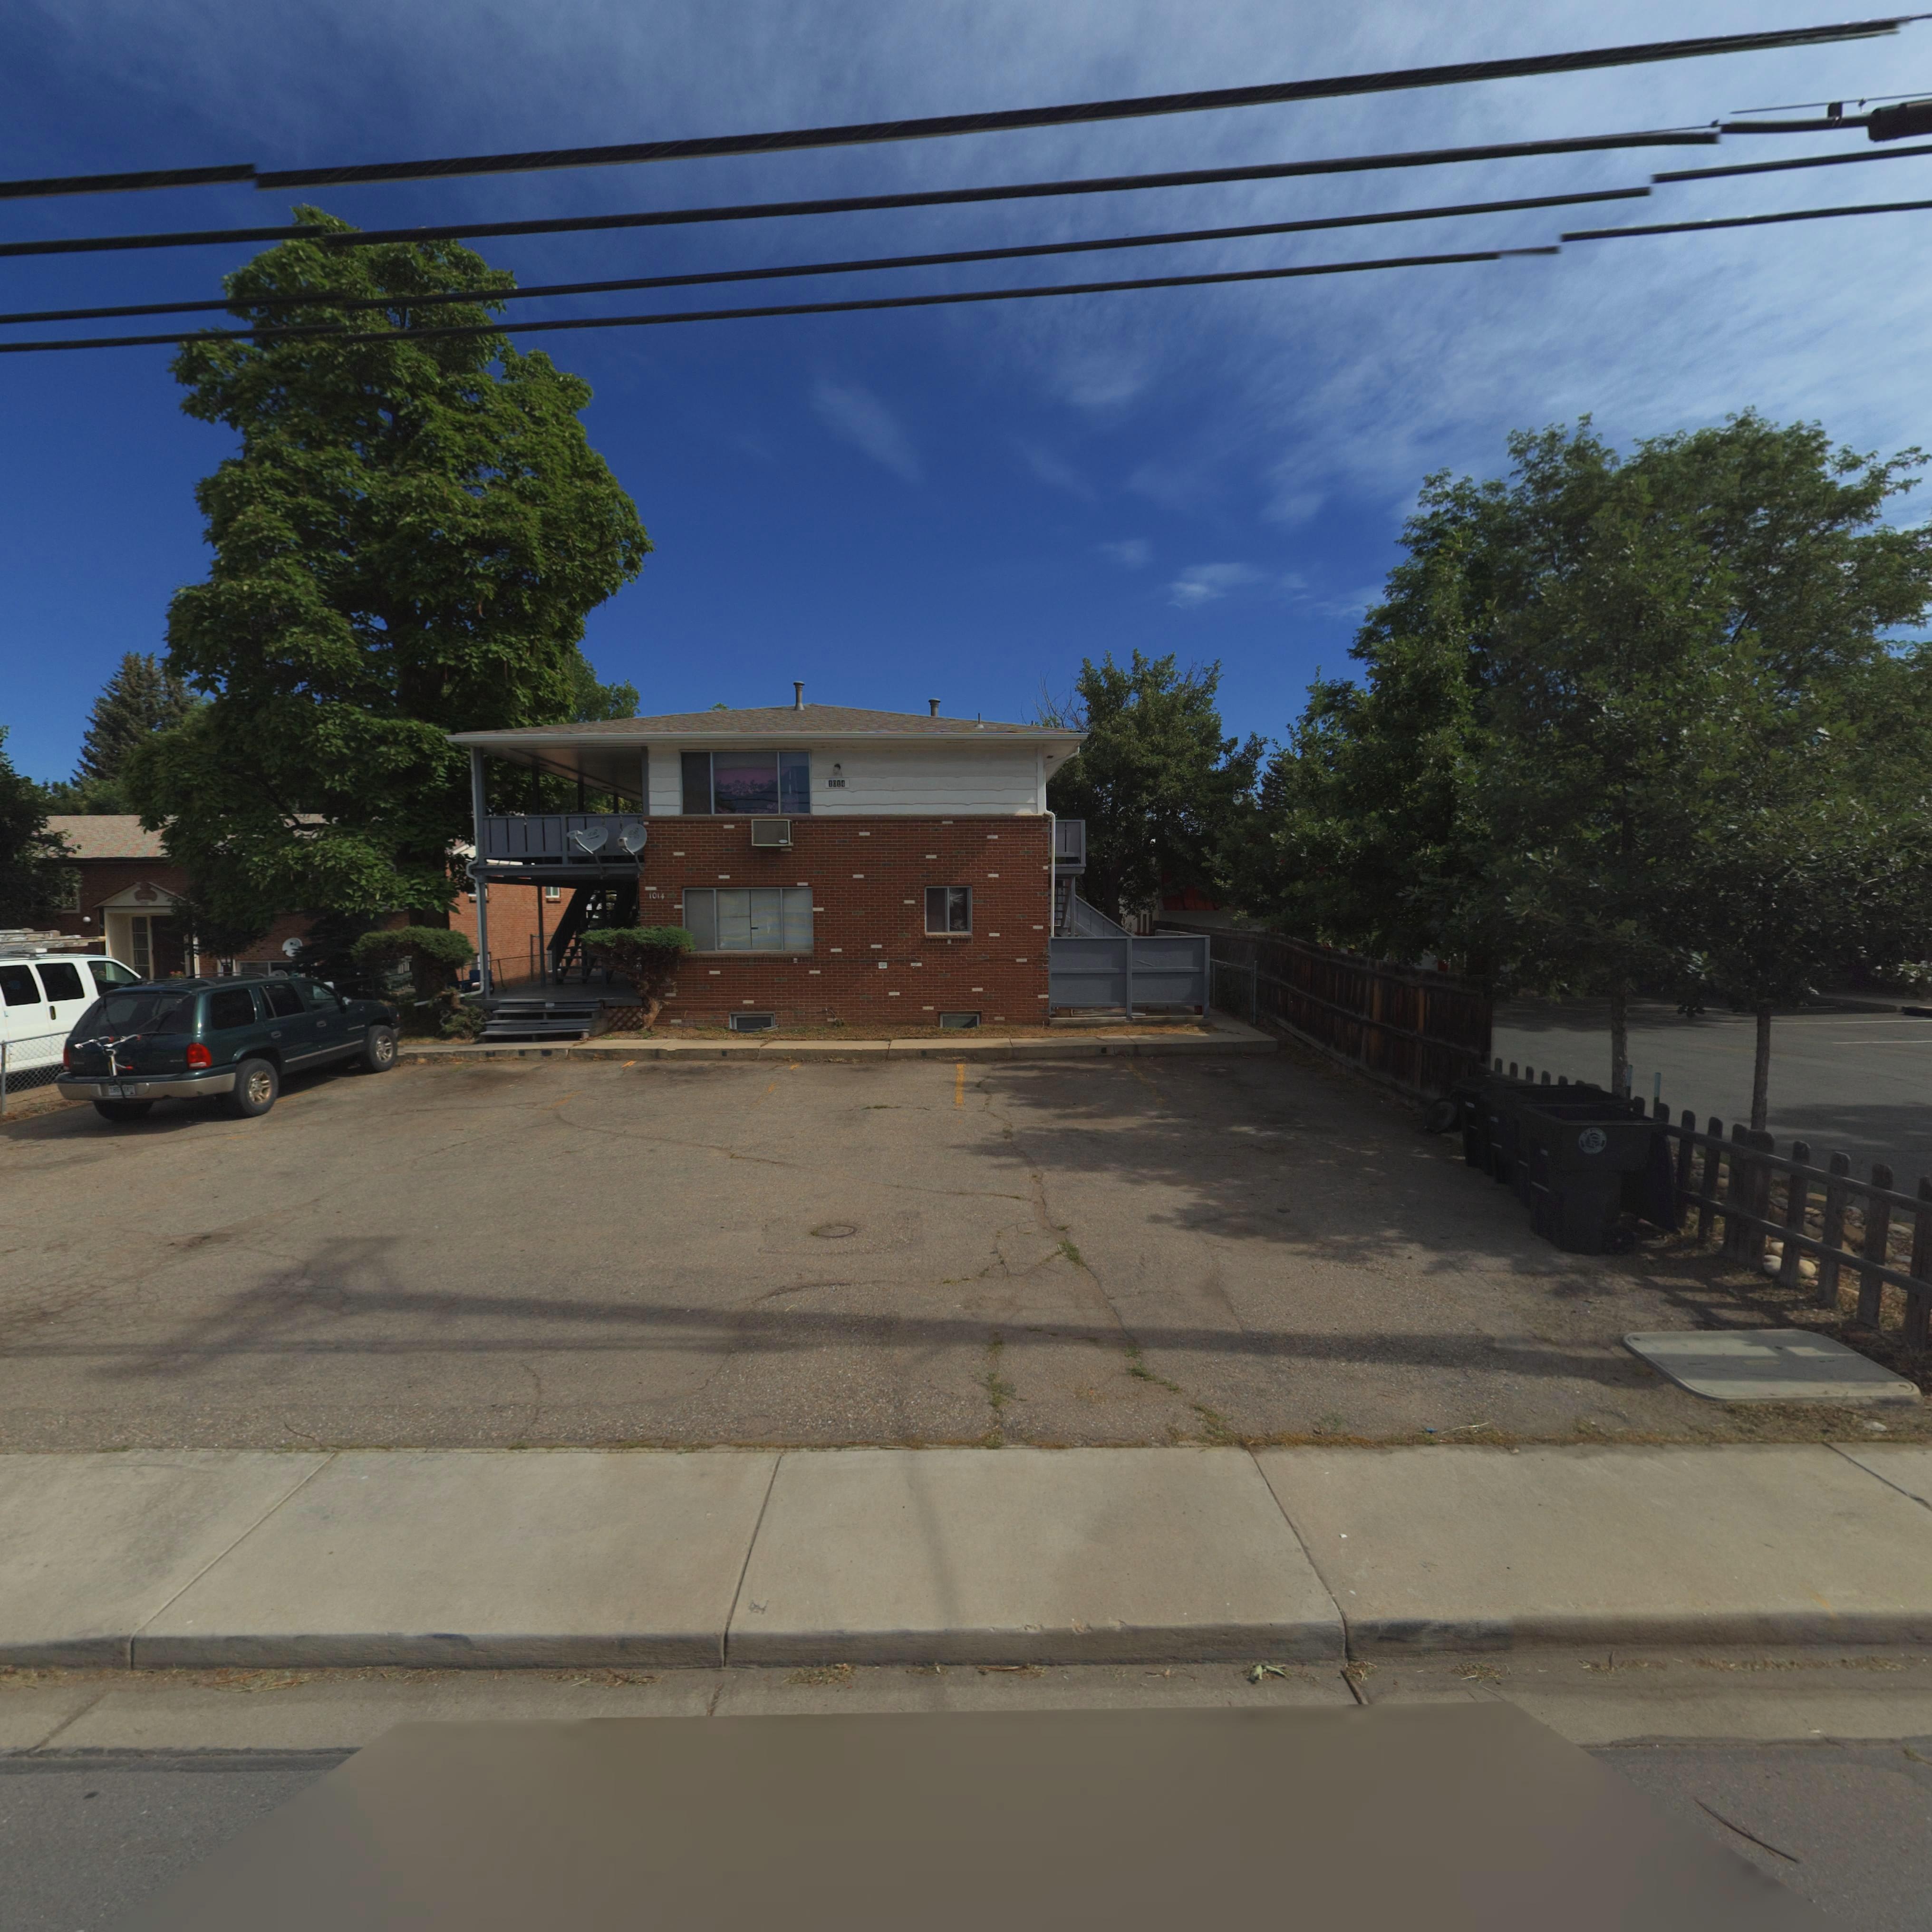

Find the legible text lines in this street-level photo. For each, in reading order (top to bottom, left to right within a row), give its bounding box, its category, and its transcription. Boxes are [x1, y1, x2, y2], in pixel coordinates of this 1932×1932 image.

[829, 780, 844, 787] StreetNumber: 1014
[649, 892, 665, 899] StreetNumber: 1014